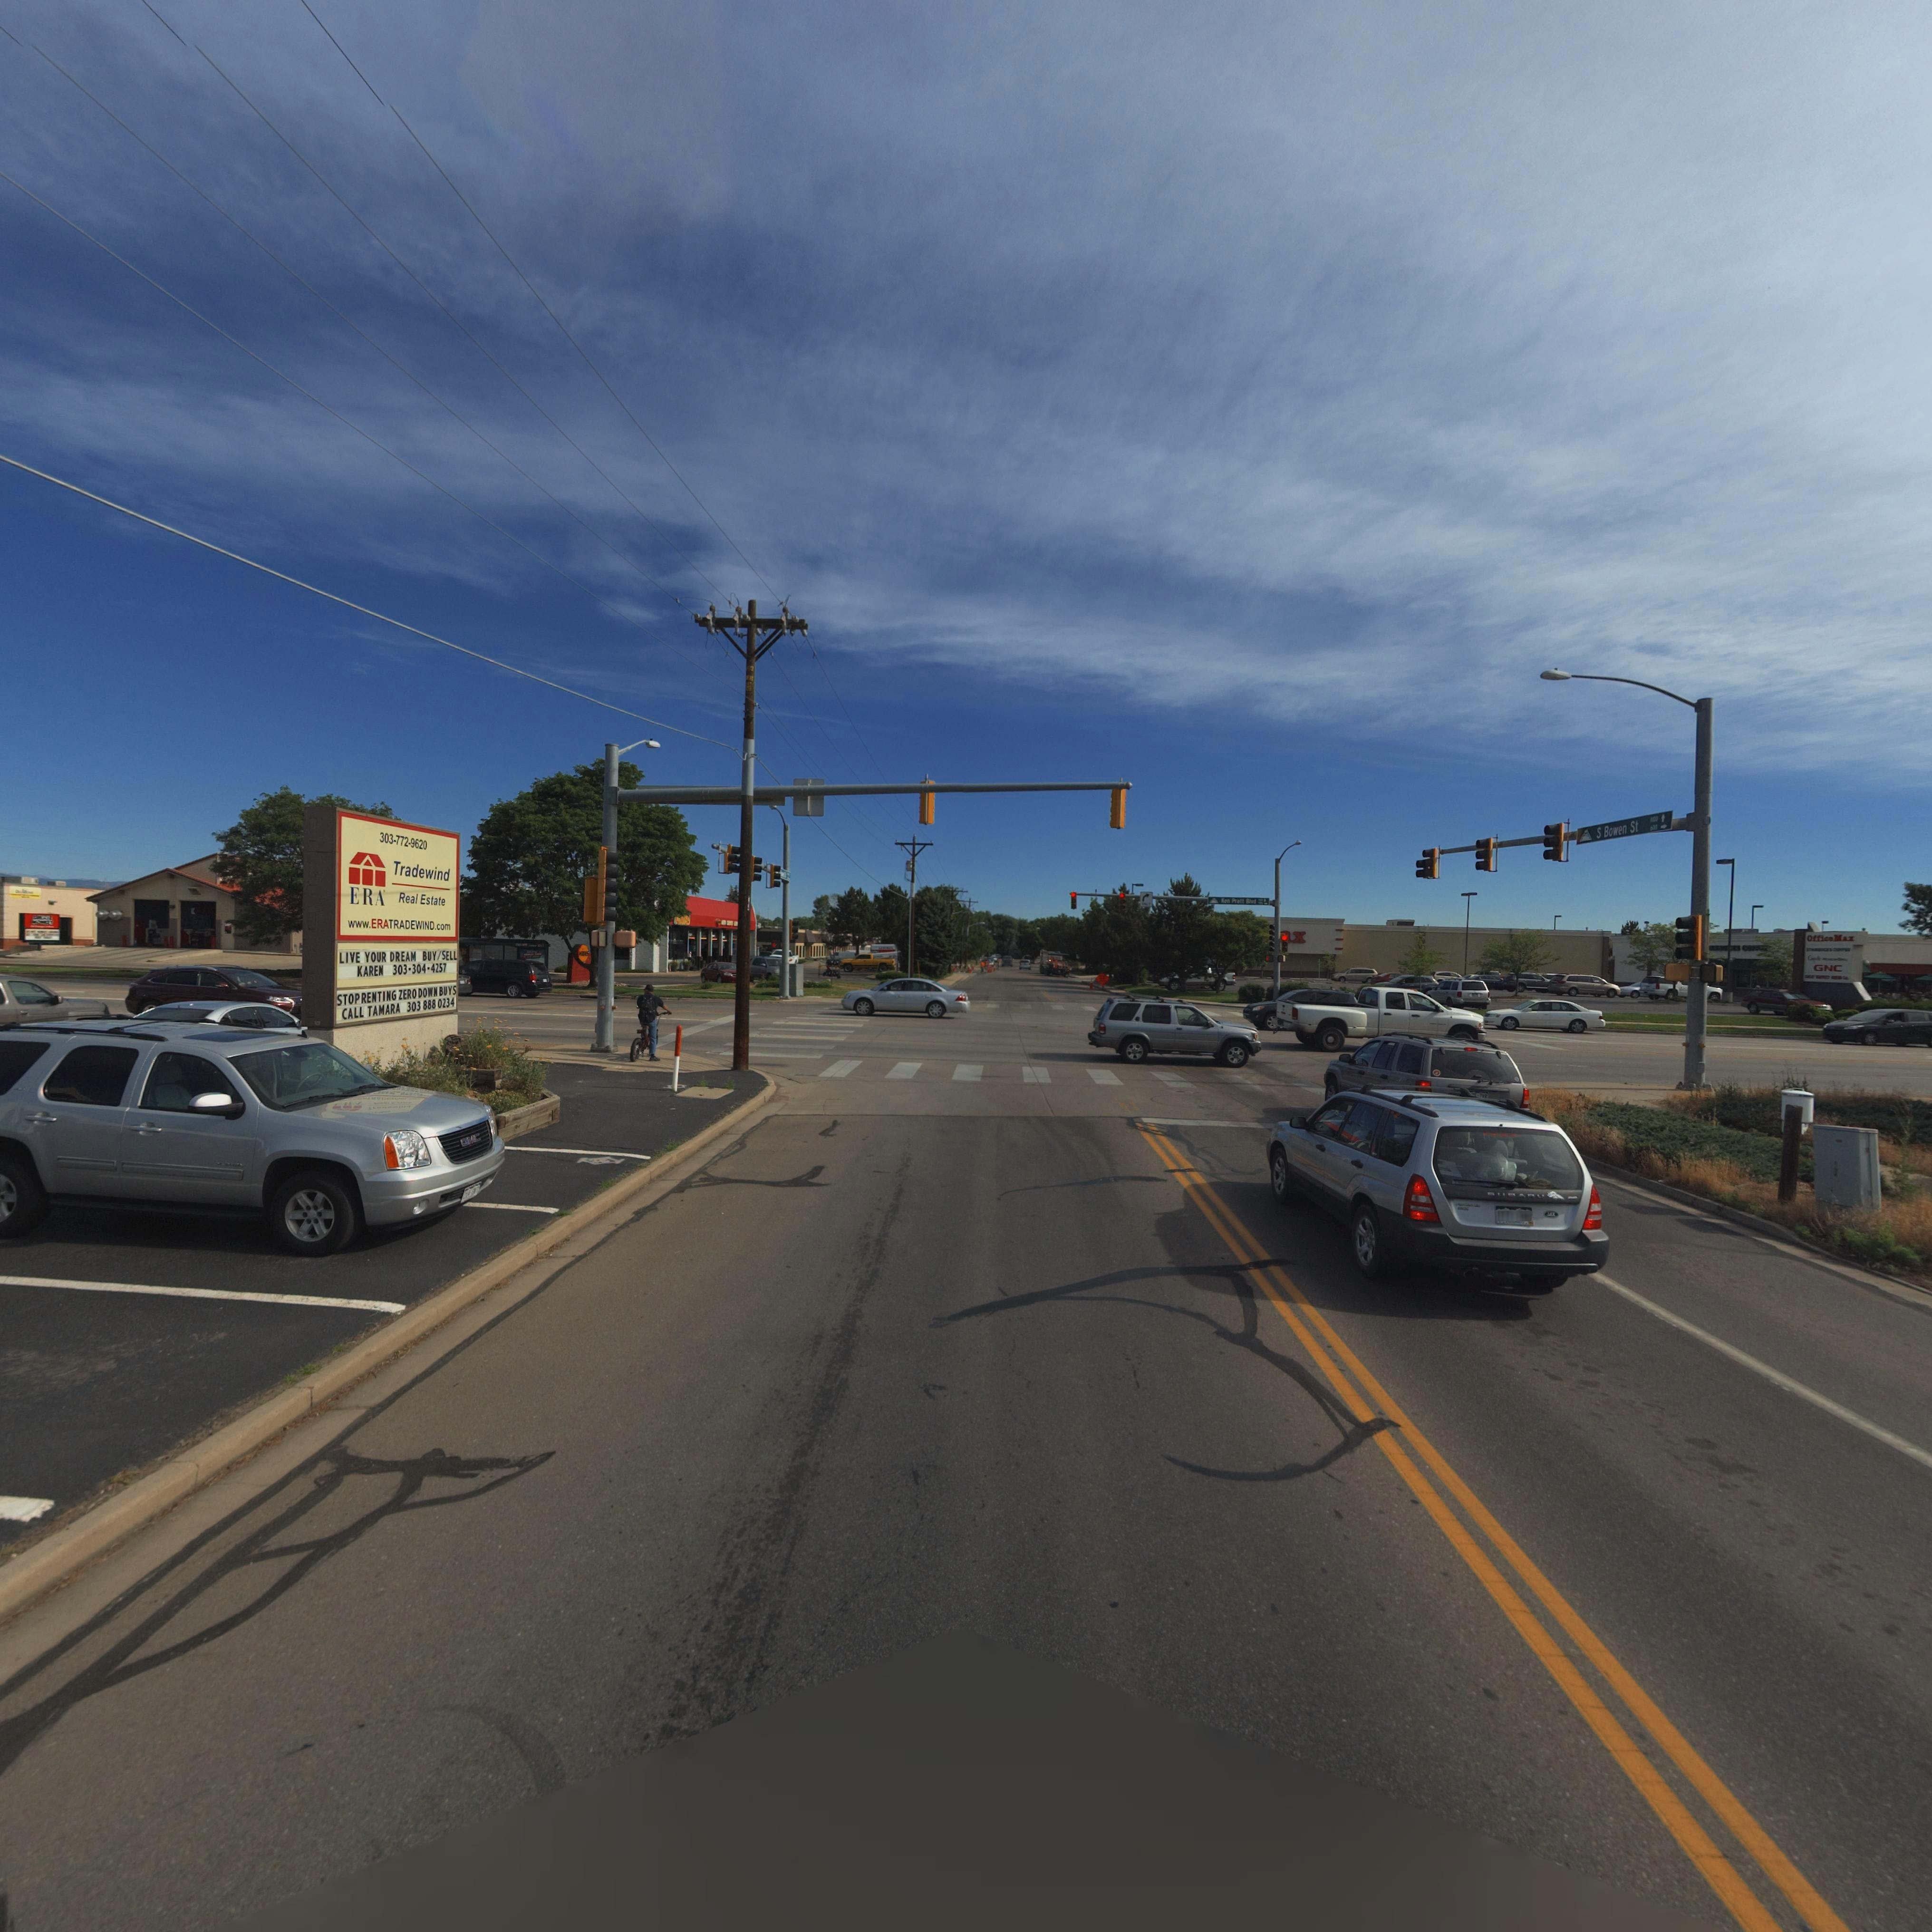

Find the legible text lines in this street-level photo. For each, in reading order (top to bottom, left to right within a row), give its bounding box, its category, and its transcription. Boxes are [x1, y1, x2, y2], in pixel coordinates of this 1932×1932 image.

[1650, 815, 1659, 823] StreetNumberRange: *00
[1596, 820, 1639, 839] StreetName: S Bowen St
[1649, 823, 1669, 831] StreetNumberRange: 6**->
[393, 860, 451, 882] BusinessName: Tradewind
[349, 886, 385, 906] BusinessName: ERA
[398, 891, 445, 907] BusinessName: Real Estate
[1221, 898, 1256, 904] StreetName: Ken Pratt Blvd
[31, 919, 52, 925] BusinessName: M****Y
[32, 914, 52, 920] BusinessName: G*****
[686, 914, 691, 926] BusinessName: S
[1291, 931, 1306, 943] BusinessName: x
[1806, 934, 1855, 942] BusinessName: offic*MAx
[579, 948, 589, 956] BusinessName: Mi**S
[1709, 945, 1759, 951] BusinessName: ******S CO**E
[1806, 947, 1851, 952] BusinessName: S*******S CO****
[1807, 954, 1849, 961] BusinessName: C******* M****** G***L
[1813, 964, 1843, 972] BusinessName: GNC